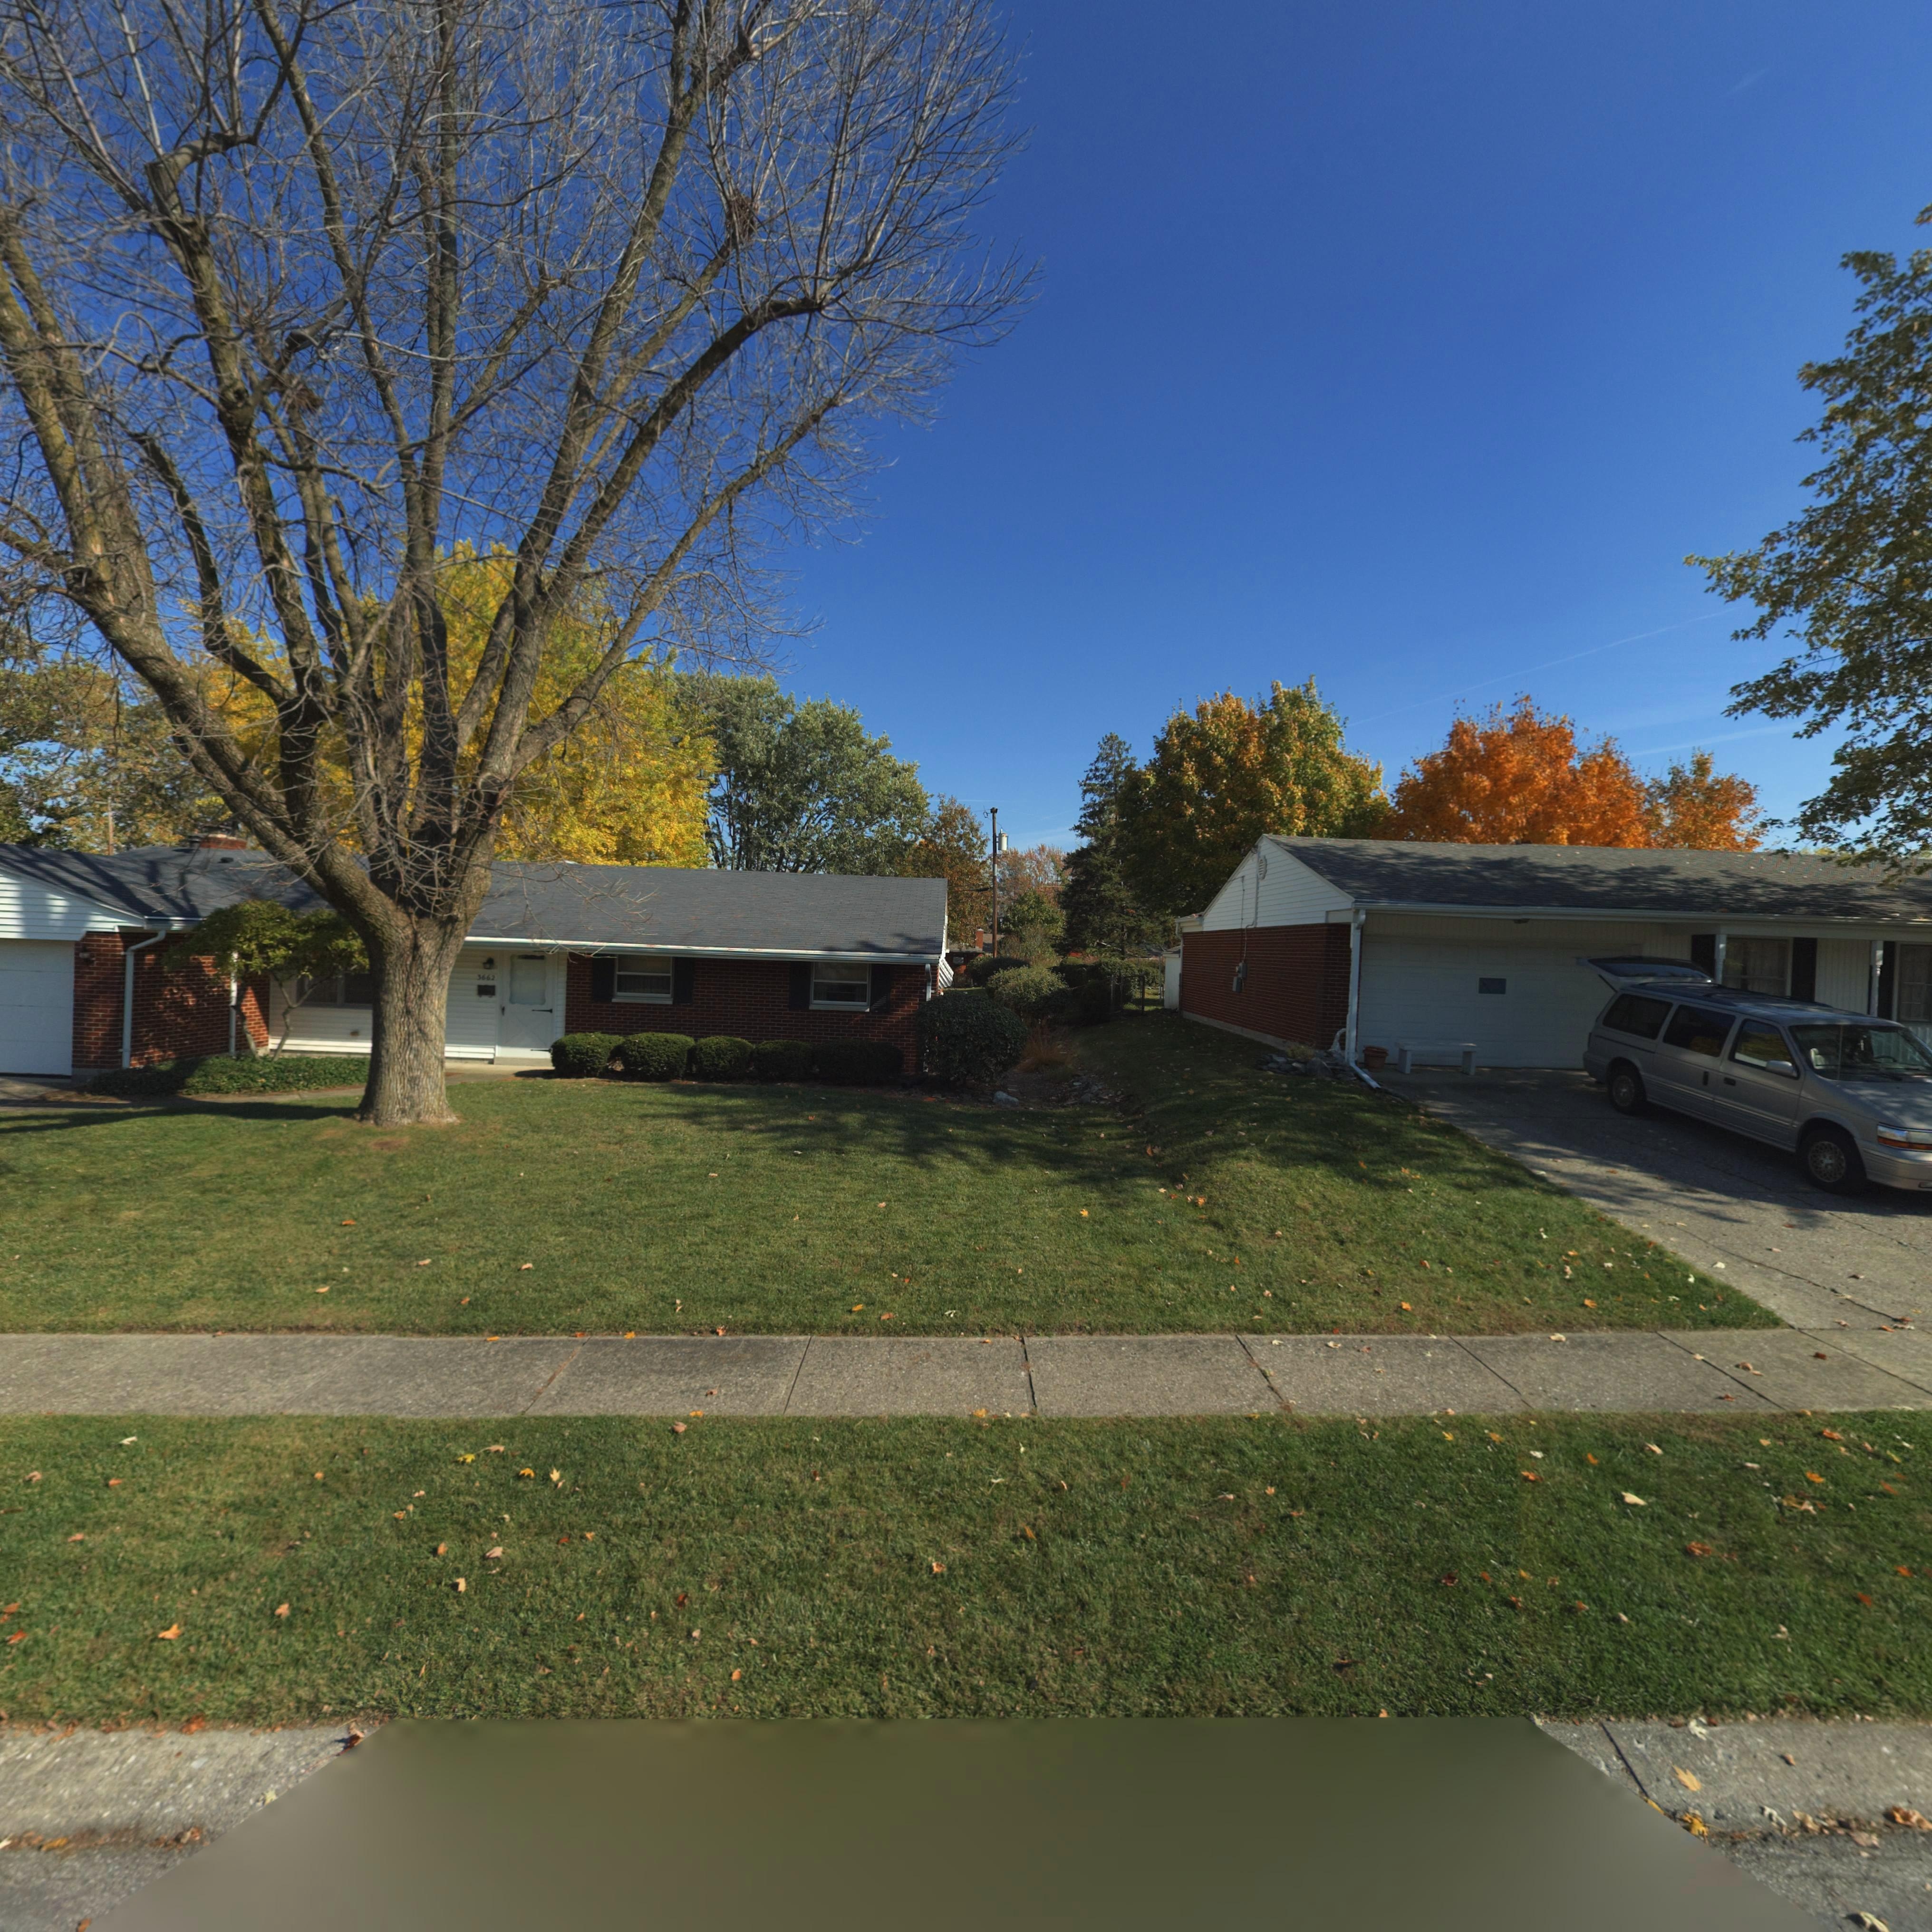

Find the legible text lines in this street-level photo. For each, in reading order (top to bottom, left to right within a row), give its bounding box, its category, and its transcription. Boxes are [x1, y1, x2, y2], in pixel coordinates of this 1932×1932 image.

[476, 974, 496, 981] StreetNumber: 3662